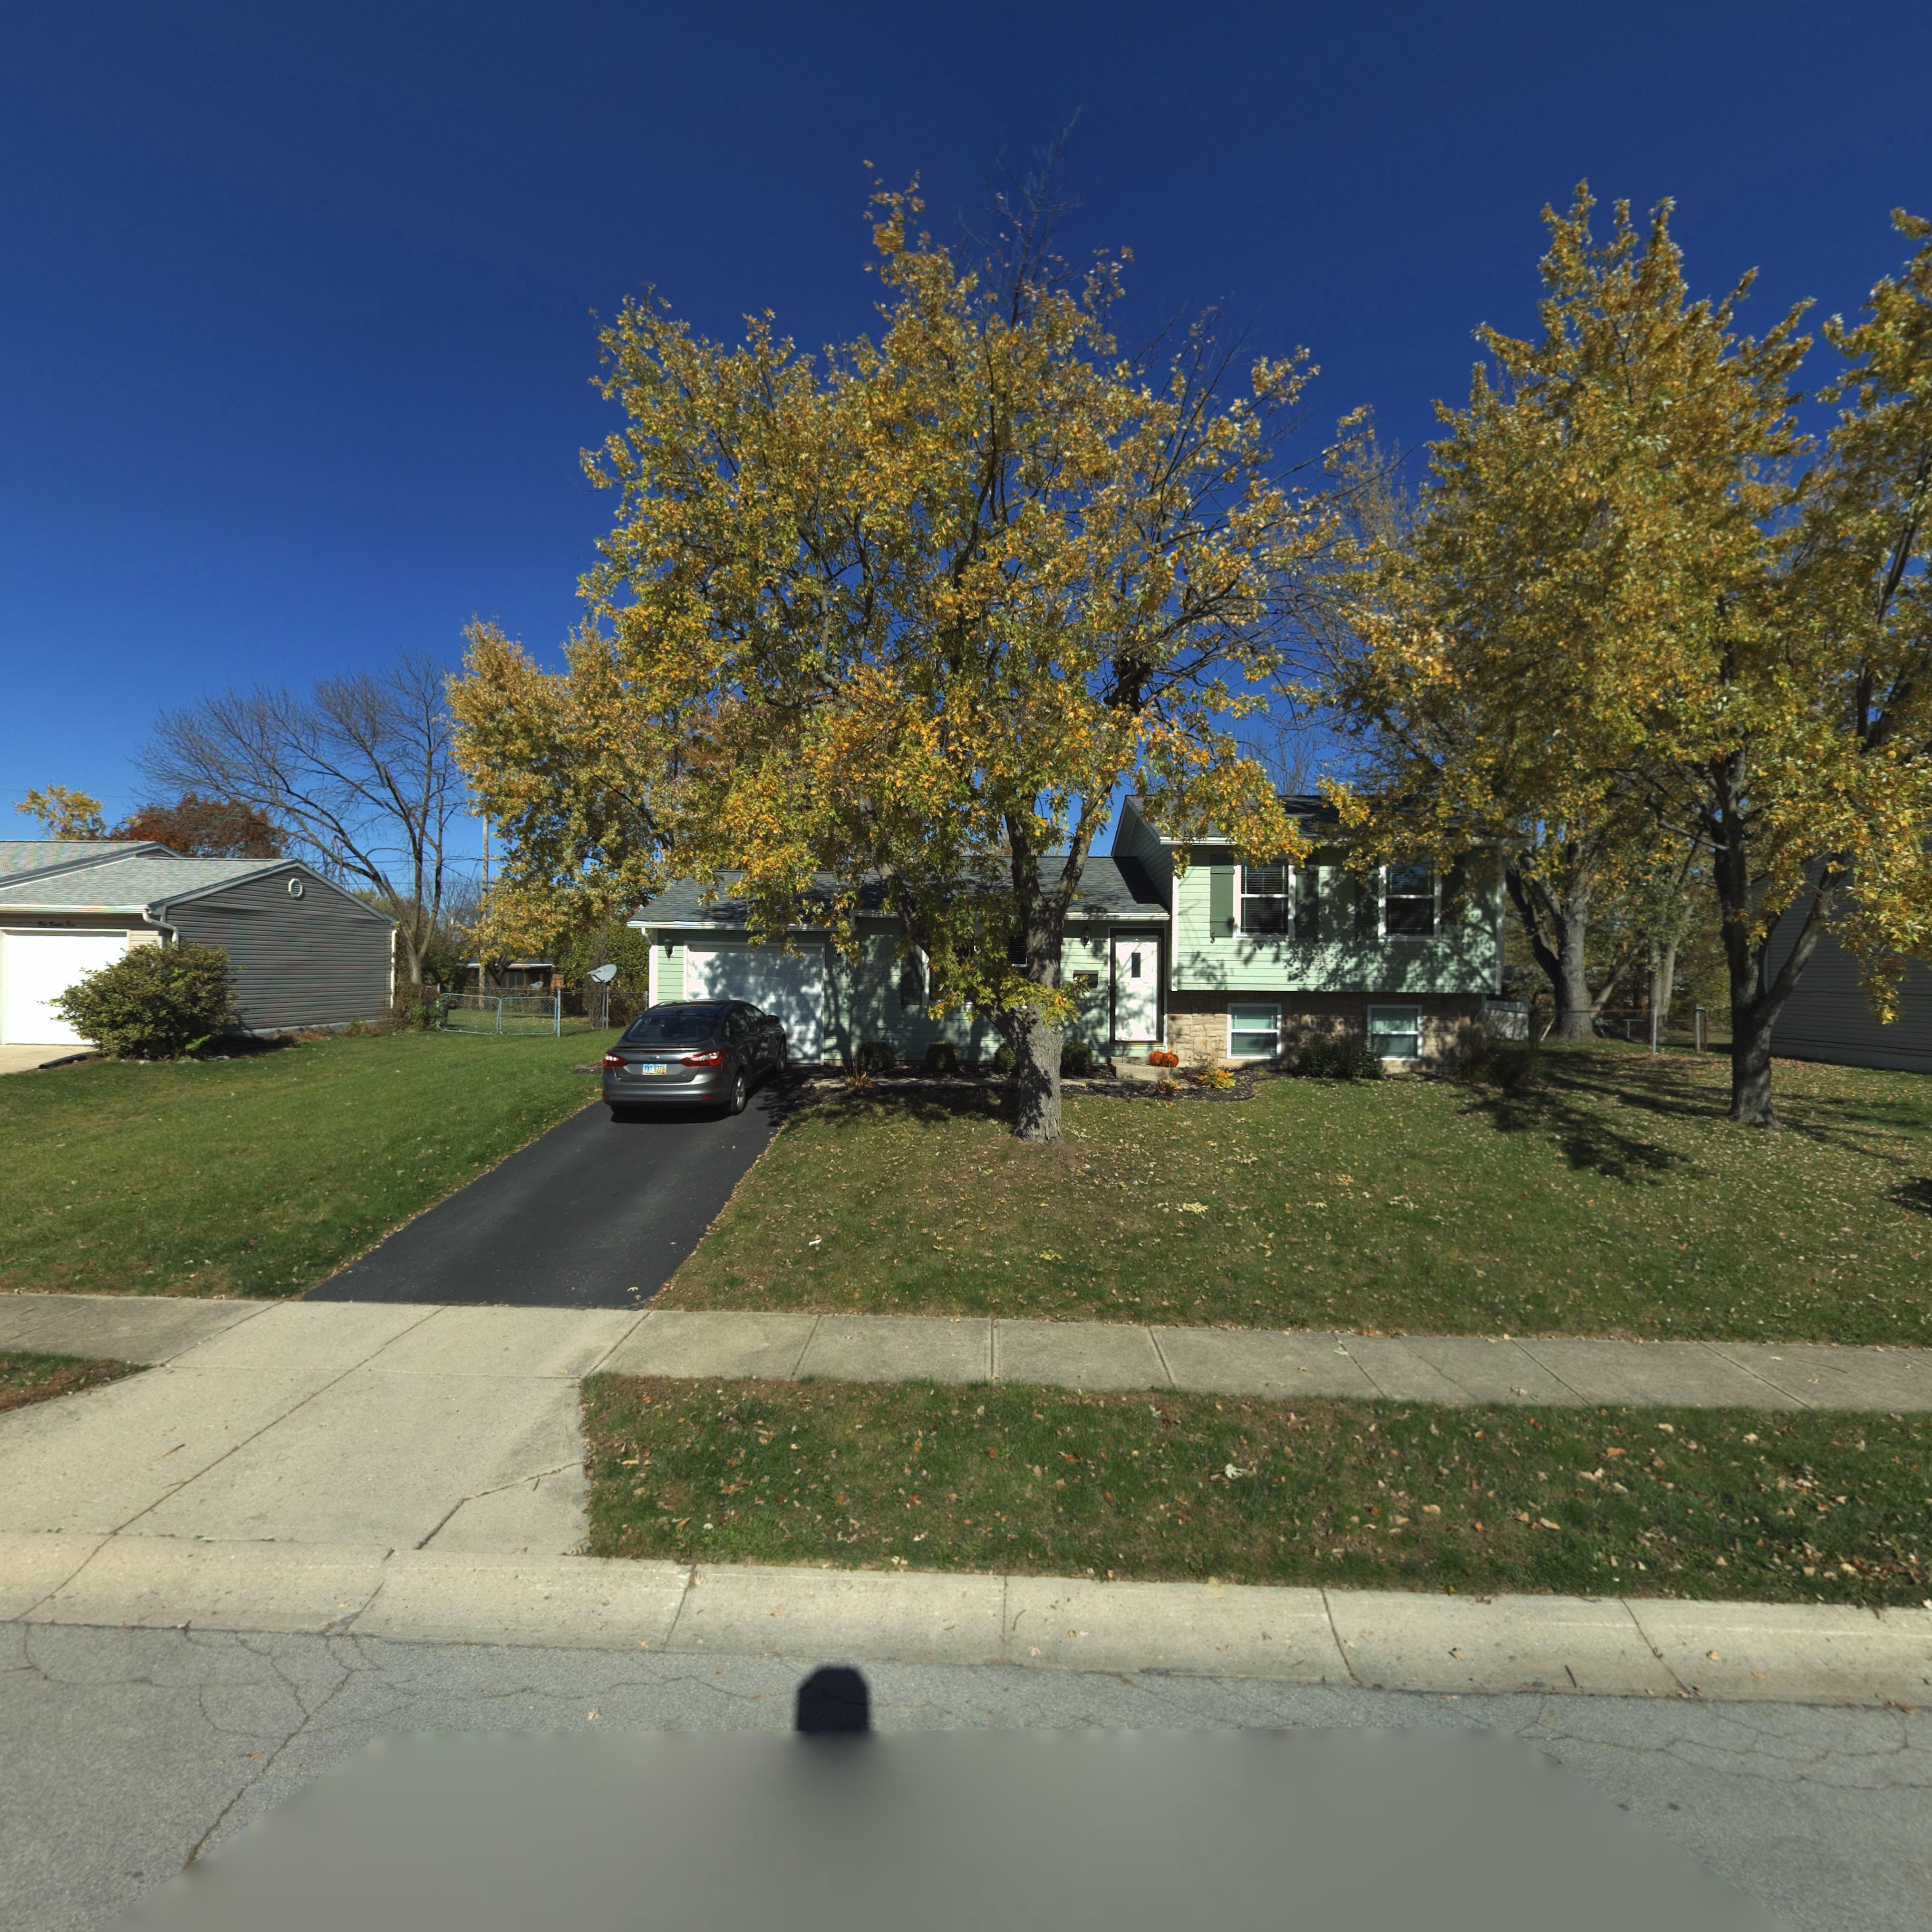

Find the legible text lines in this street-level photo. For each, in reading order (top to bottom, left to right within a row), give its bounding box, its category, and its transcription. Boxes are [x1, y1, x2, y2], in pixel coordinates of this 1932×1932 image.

[36, 921, 43, 928] StreetNumber: T
[48, 921, 55, 927] StreetNumber: T
[64, 920, 76, 928] StreetNumber: F**e
[746, 931, 751, 938] StreetNumber: 2